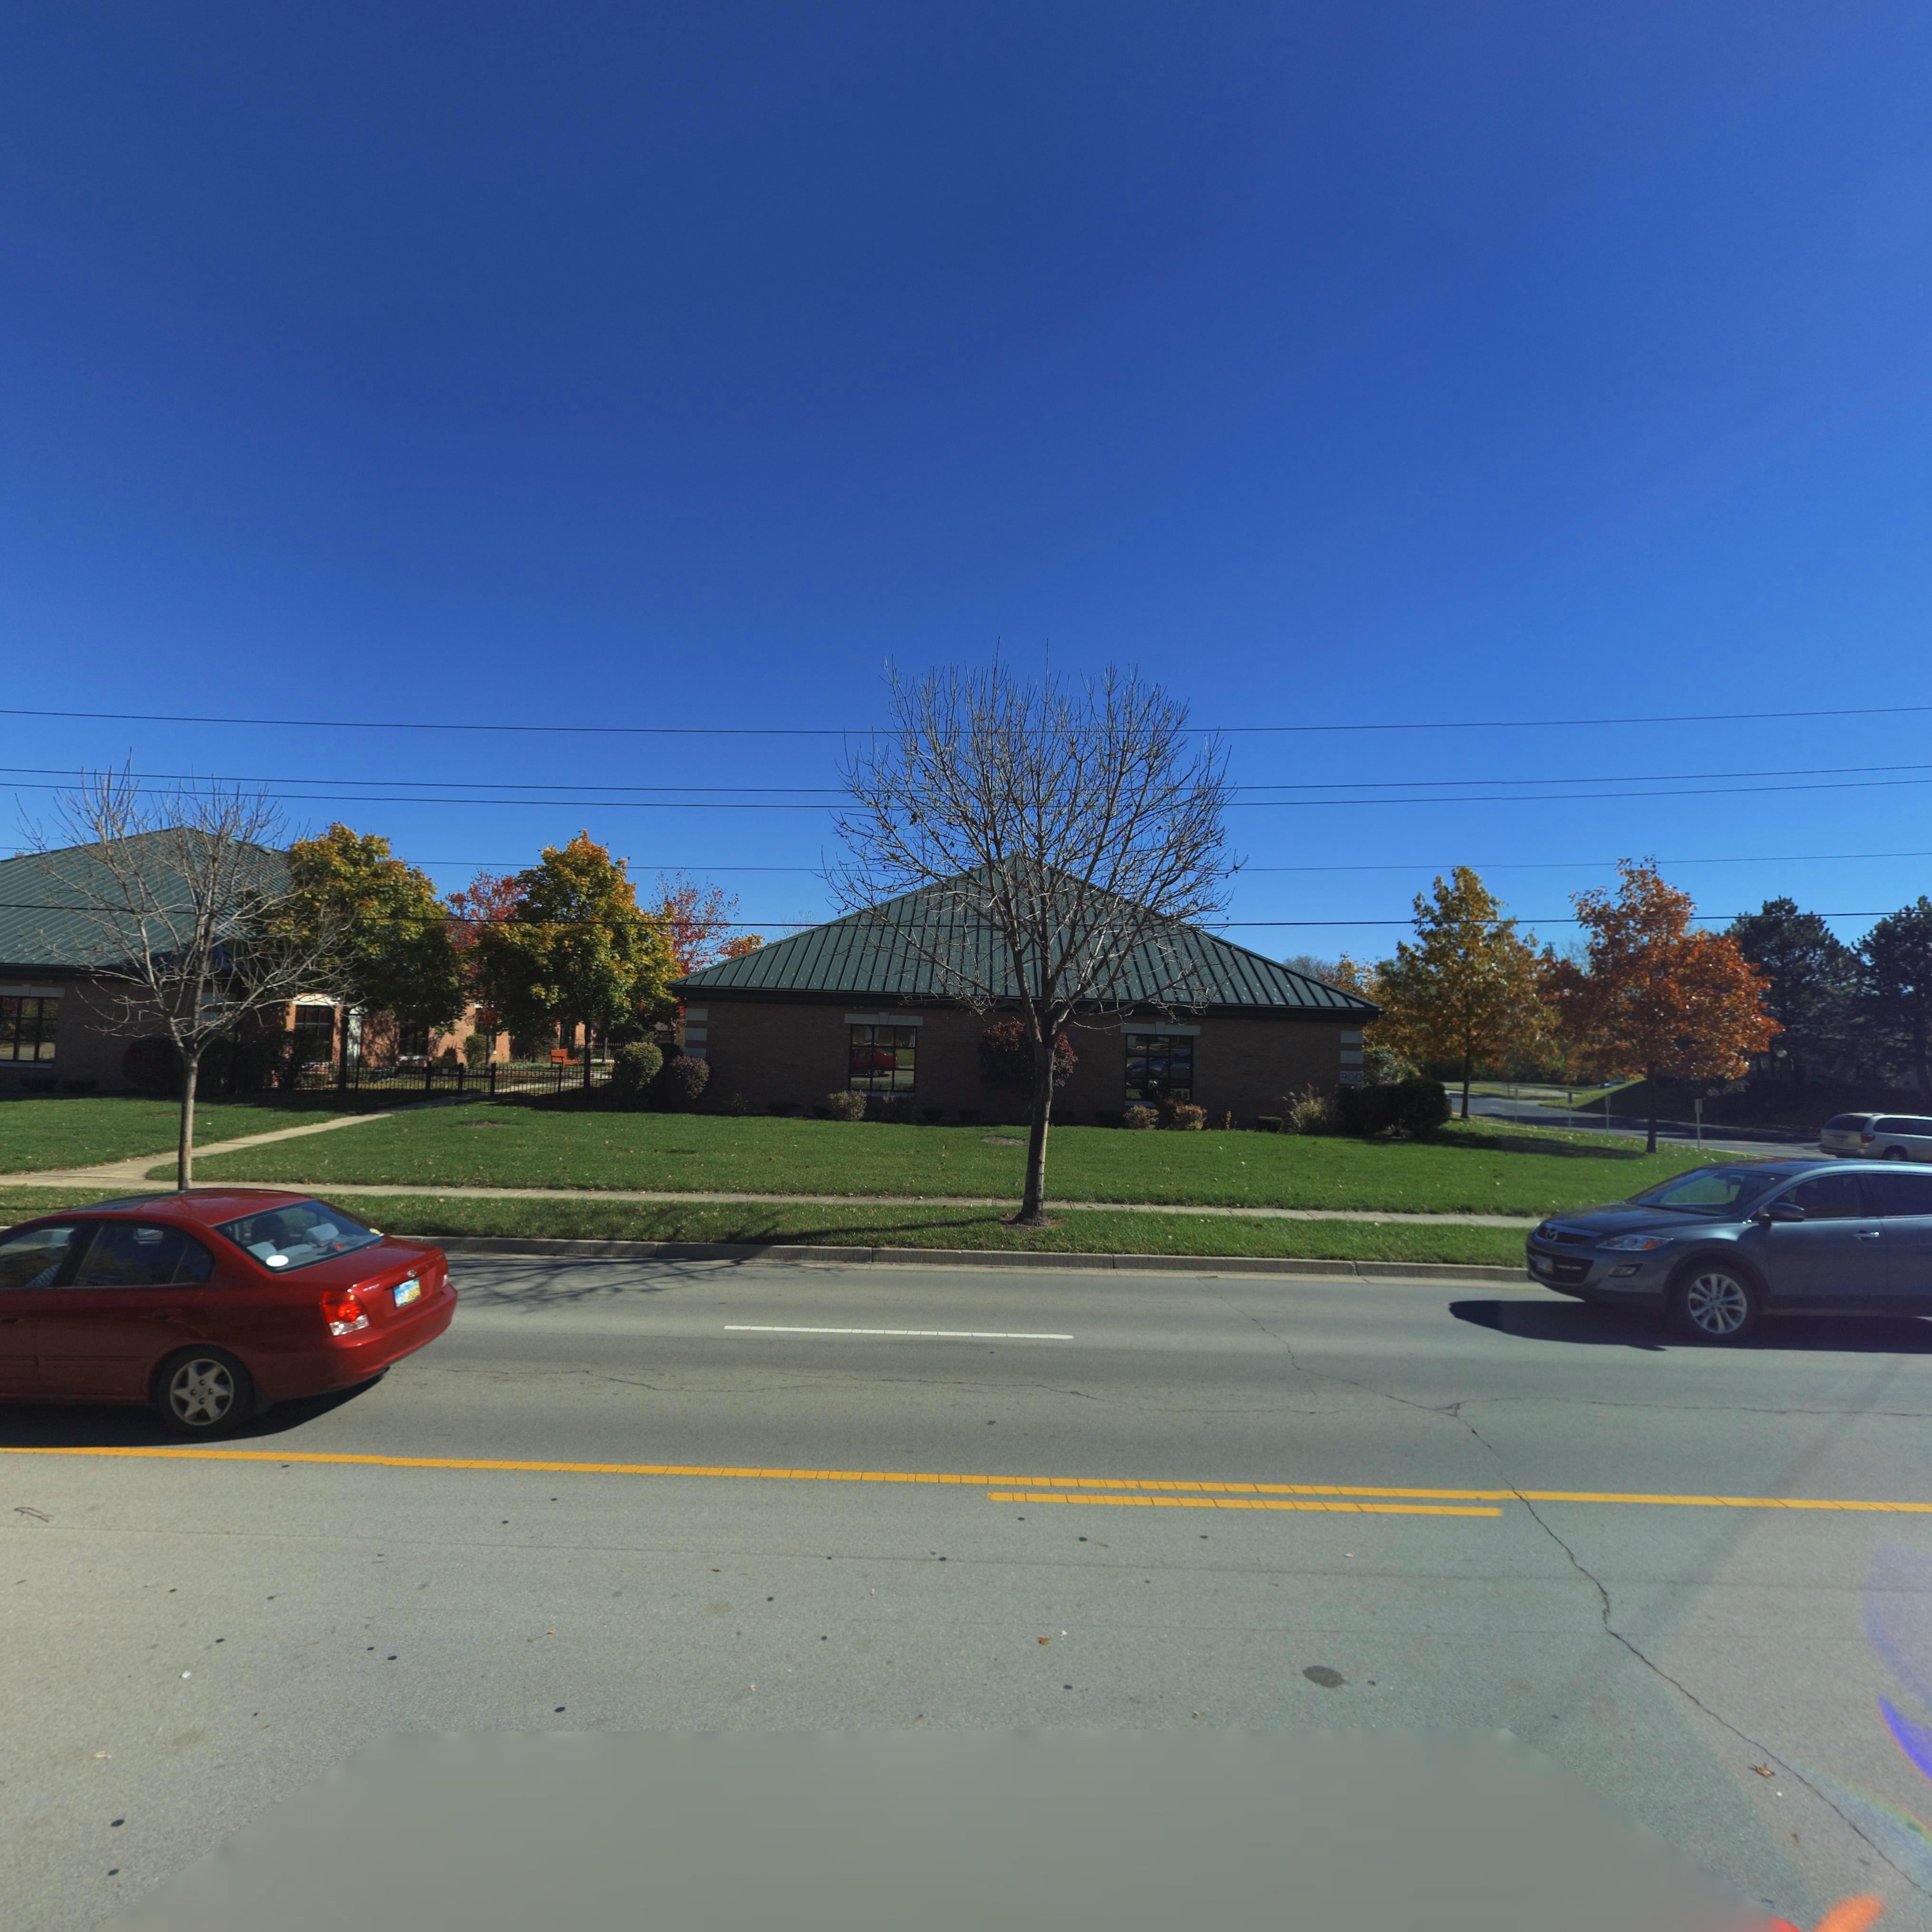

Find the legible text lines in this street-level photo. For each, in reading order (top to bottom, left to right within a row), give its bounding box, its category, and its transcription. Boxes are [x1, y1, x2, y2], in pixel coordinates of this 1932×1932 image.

[1341, 1072, 1363, 1083] StreetNumber: 900